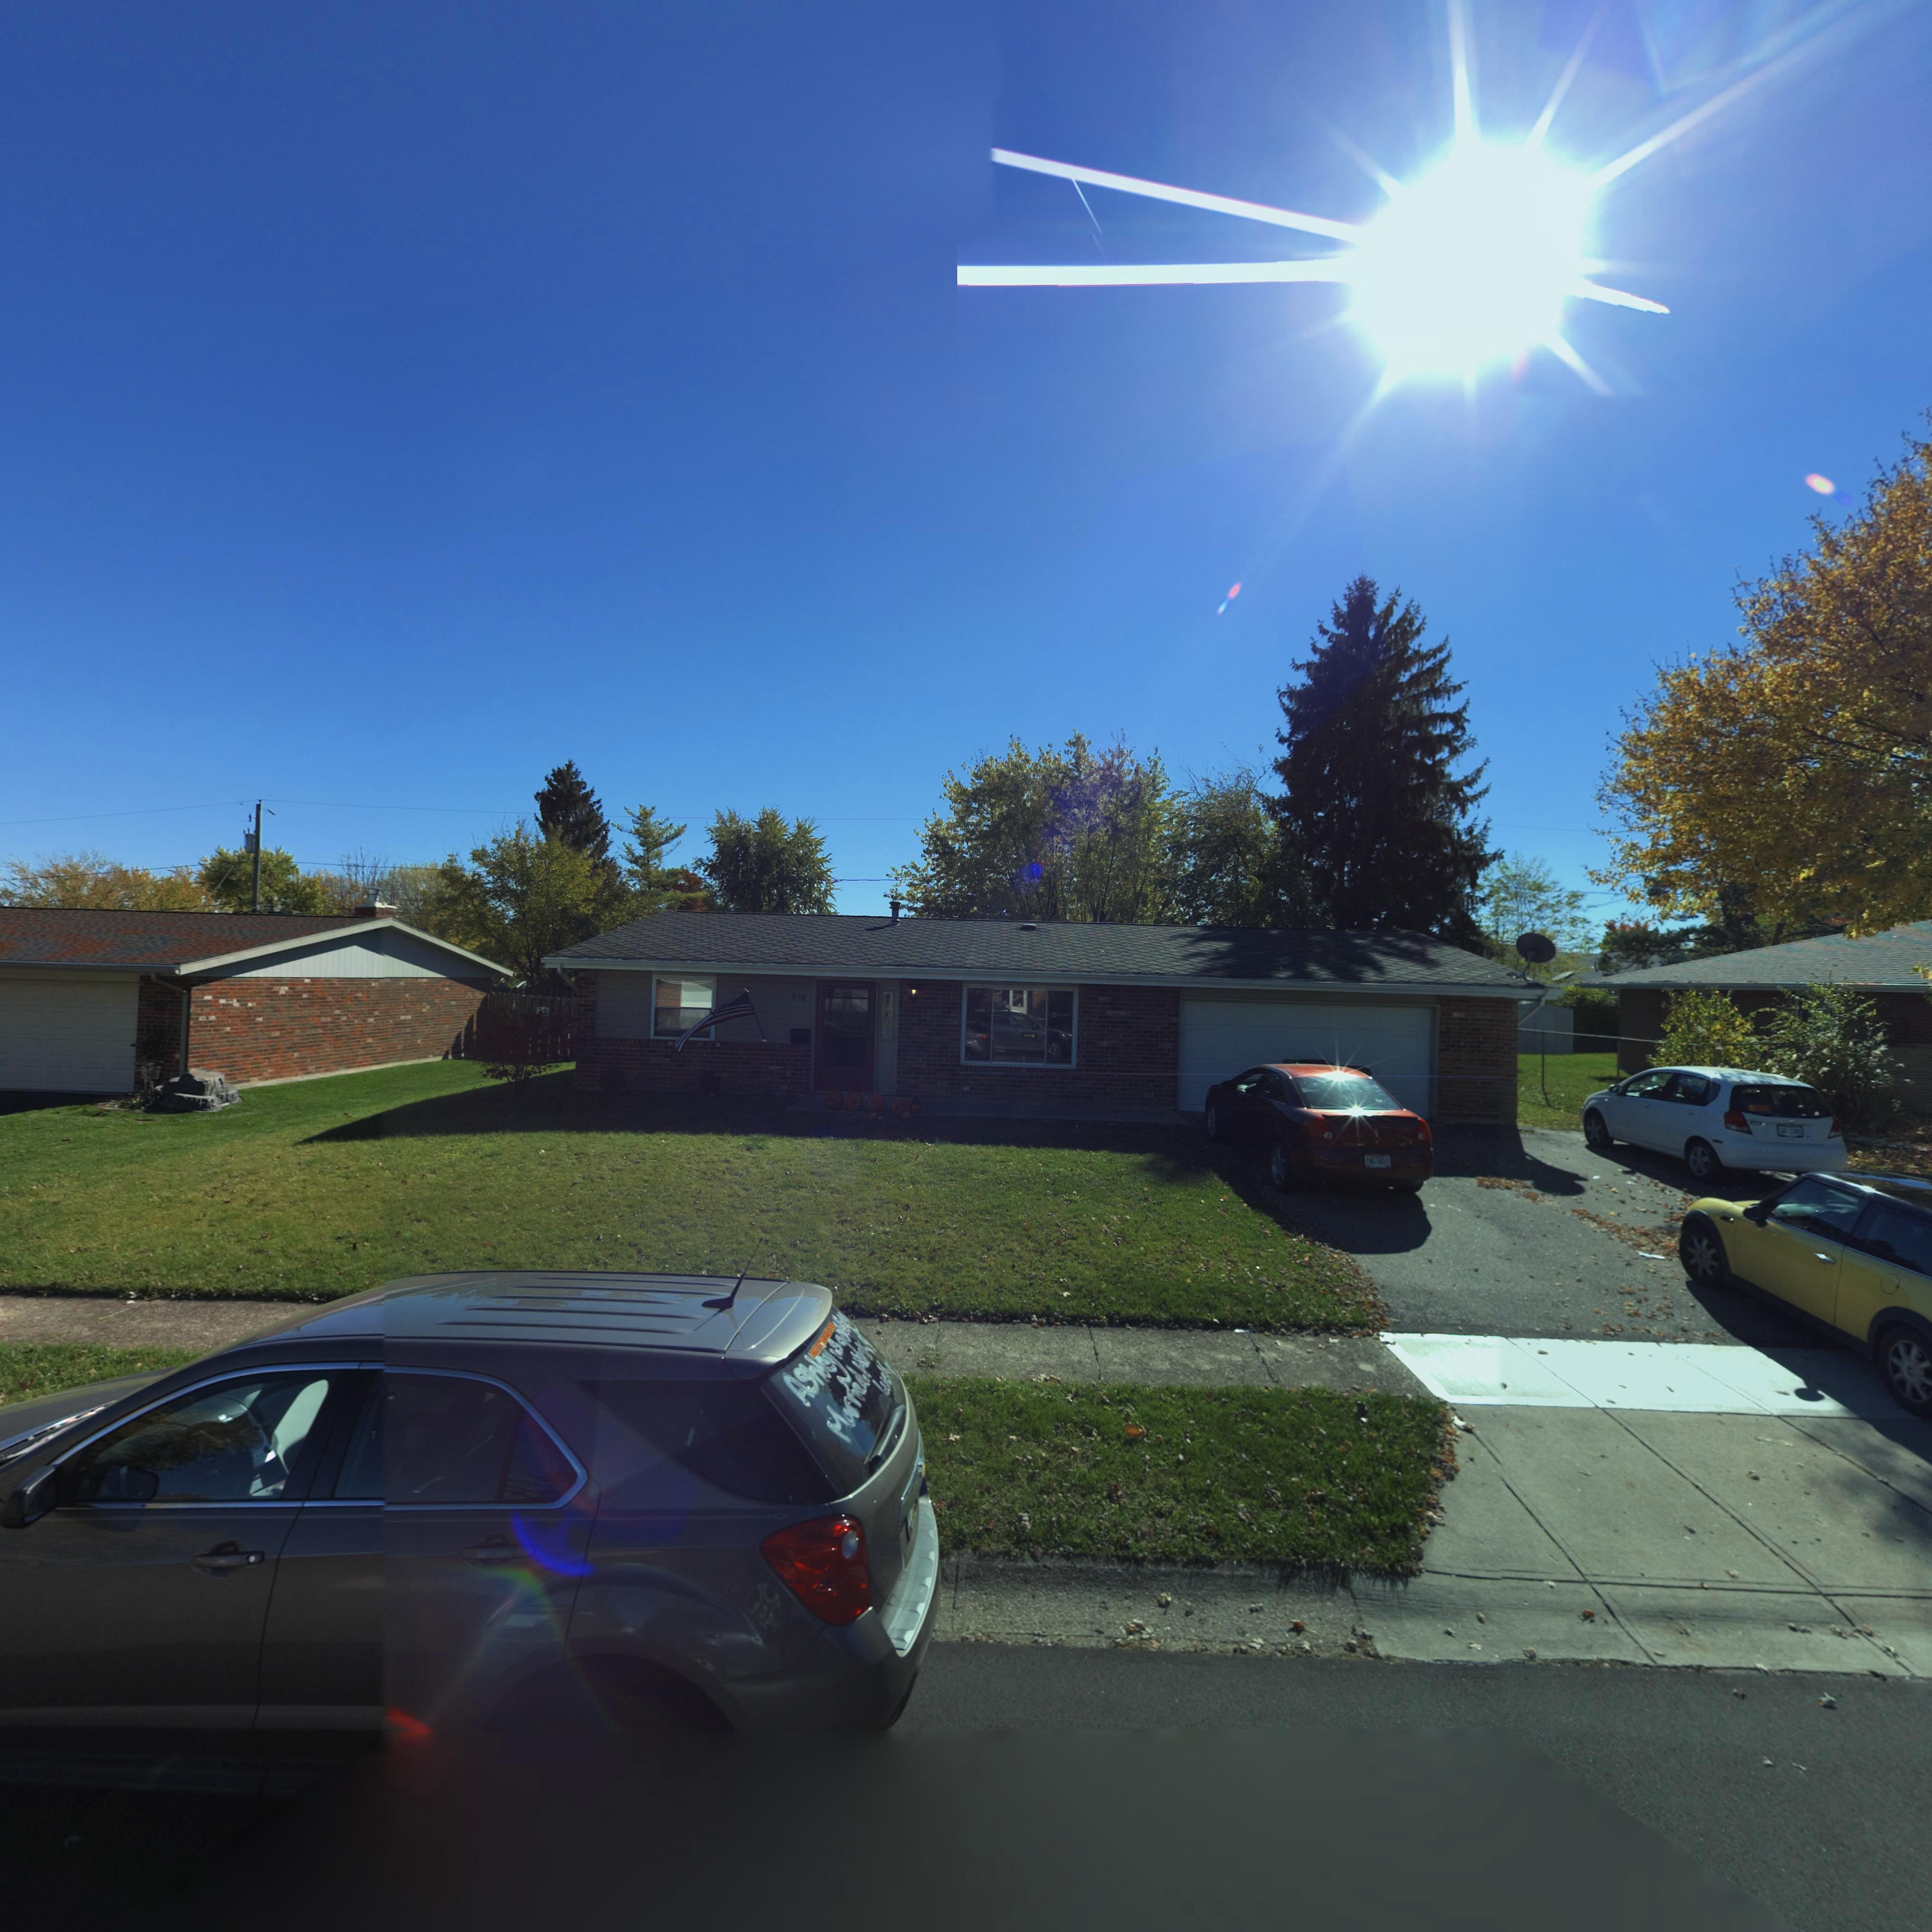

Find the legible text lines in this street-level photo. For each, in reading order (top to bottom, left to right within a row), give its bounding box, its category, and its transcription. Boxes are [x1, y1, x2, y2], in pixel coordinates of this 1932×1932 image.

[791, 994, 806, 1001] StreetNumber: 518